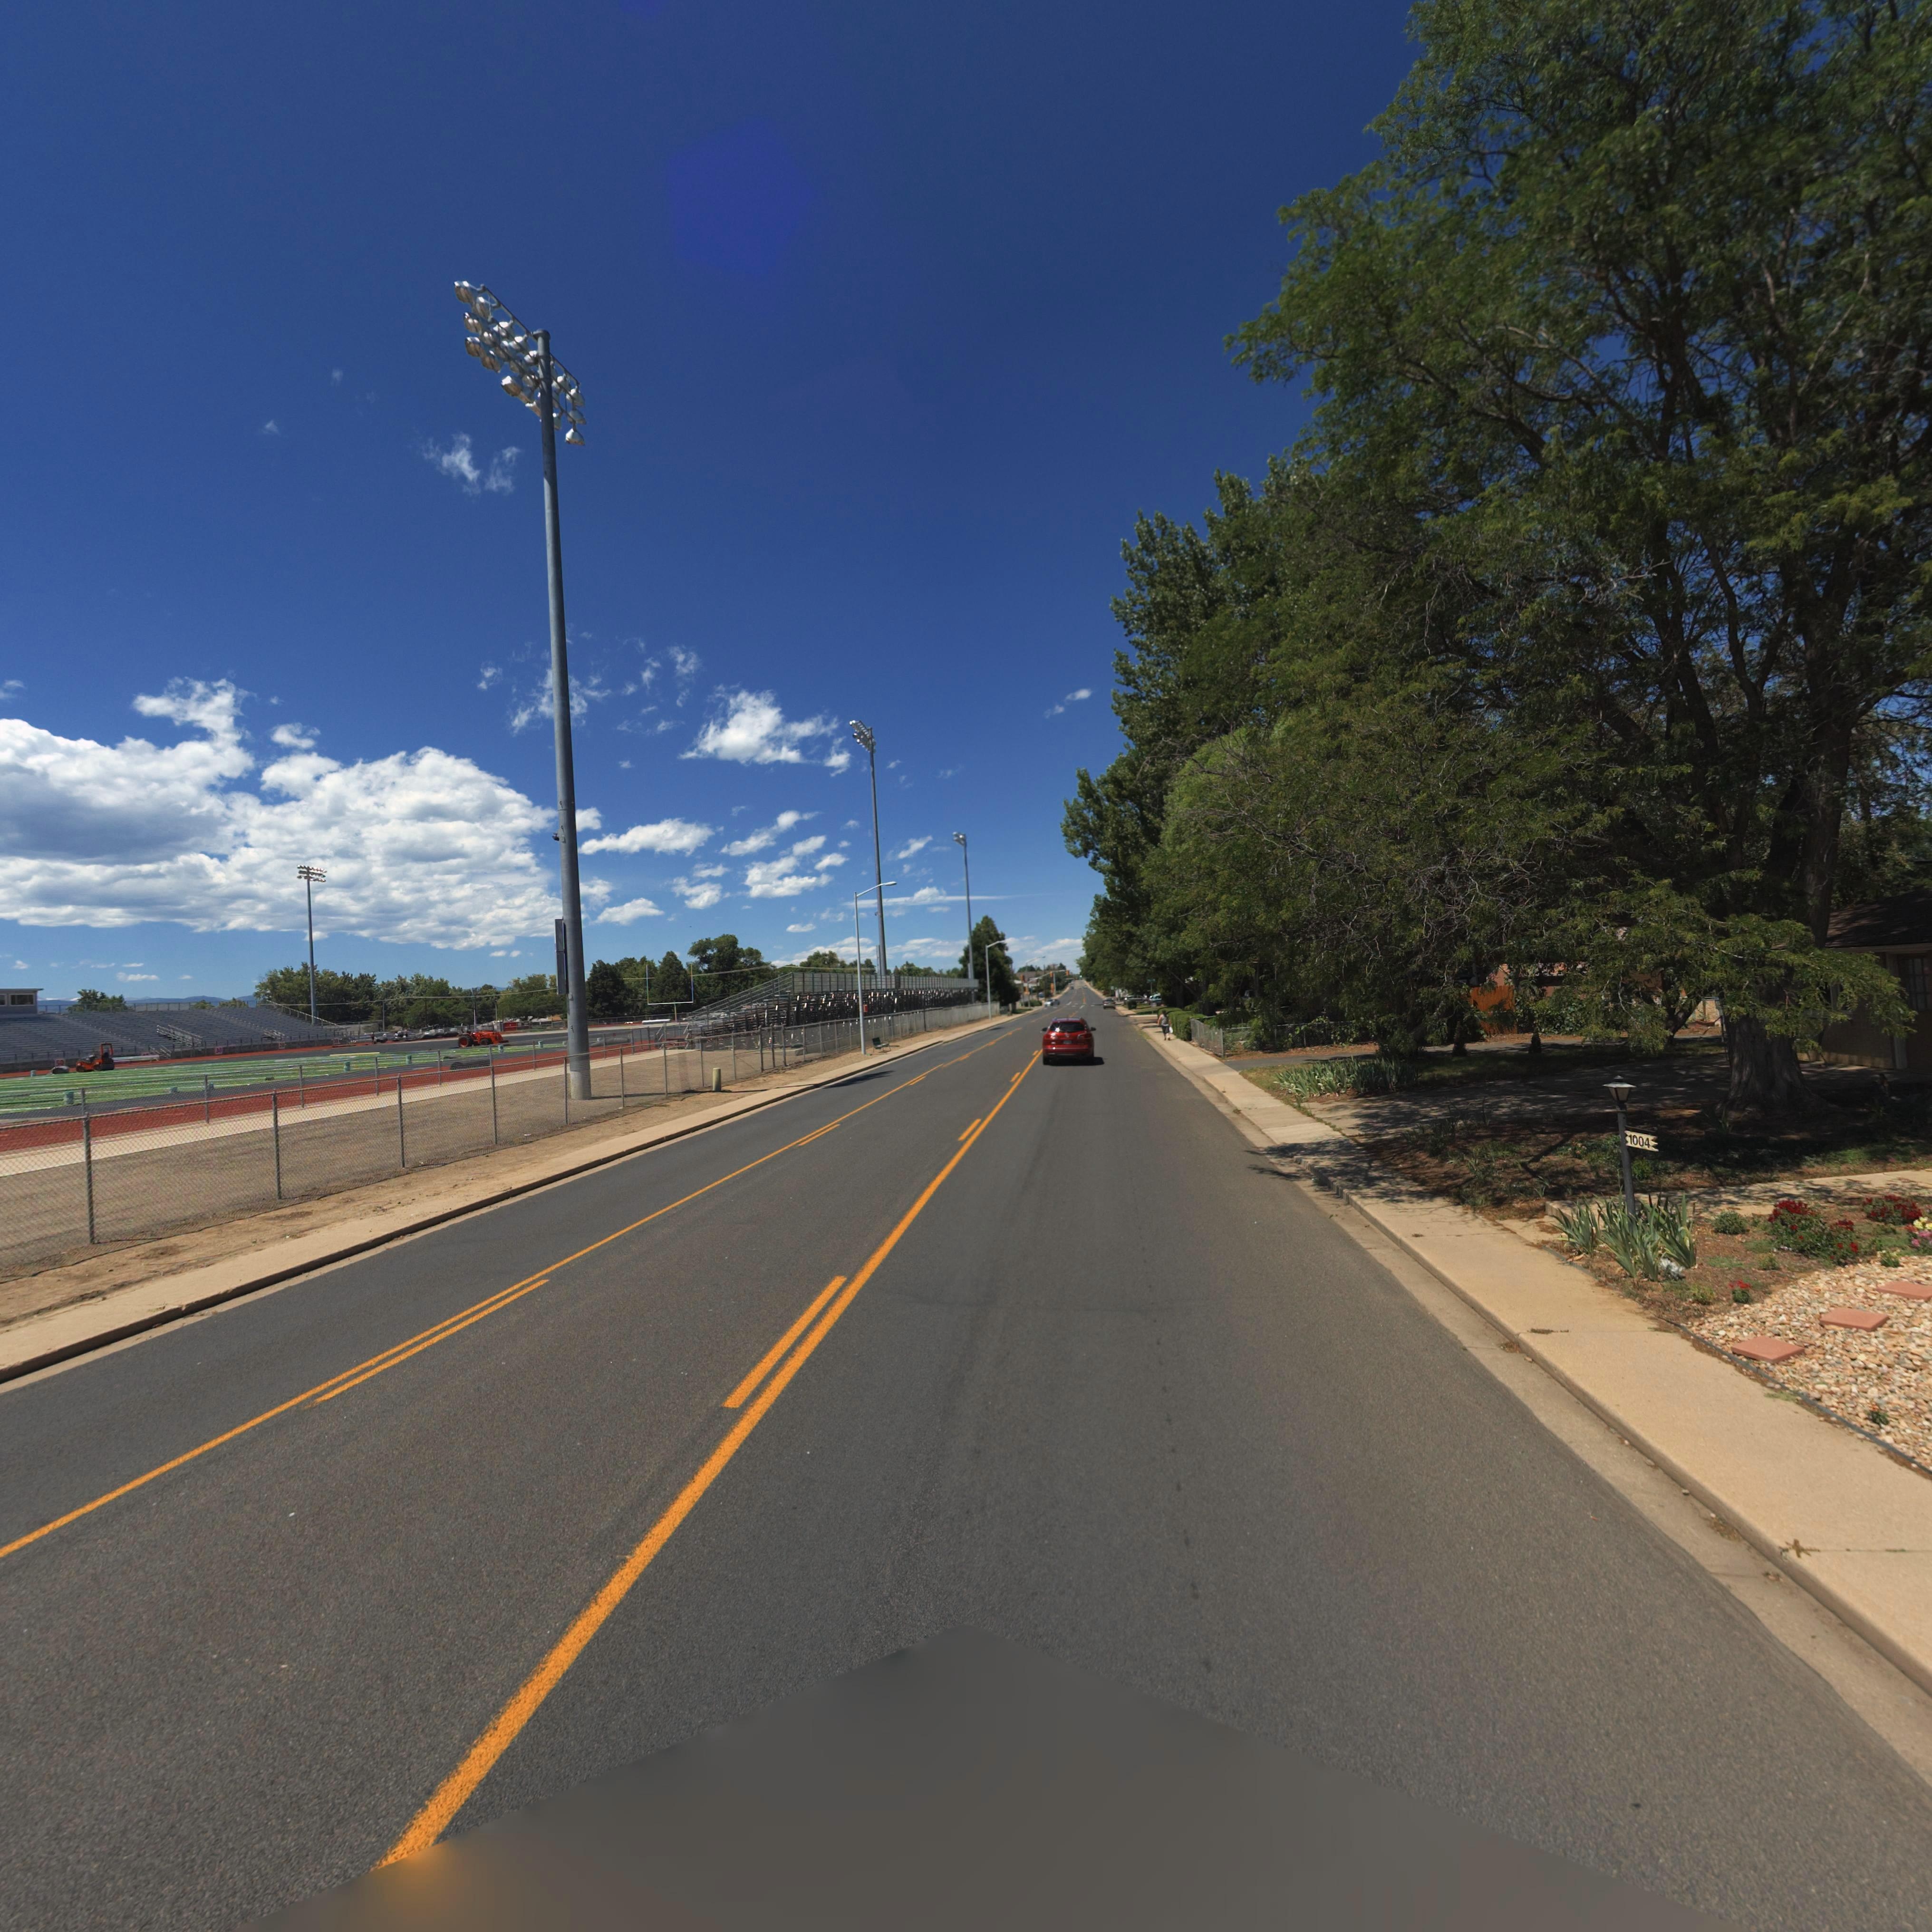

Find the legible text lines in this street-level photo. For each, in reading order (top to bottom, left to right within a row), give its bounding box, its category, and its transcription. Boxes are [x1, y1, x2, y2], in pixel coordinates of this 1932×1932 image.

[1628, 1133, 1650, 1149] StreetNumber: 1004